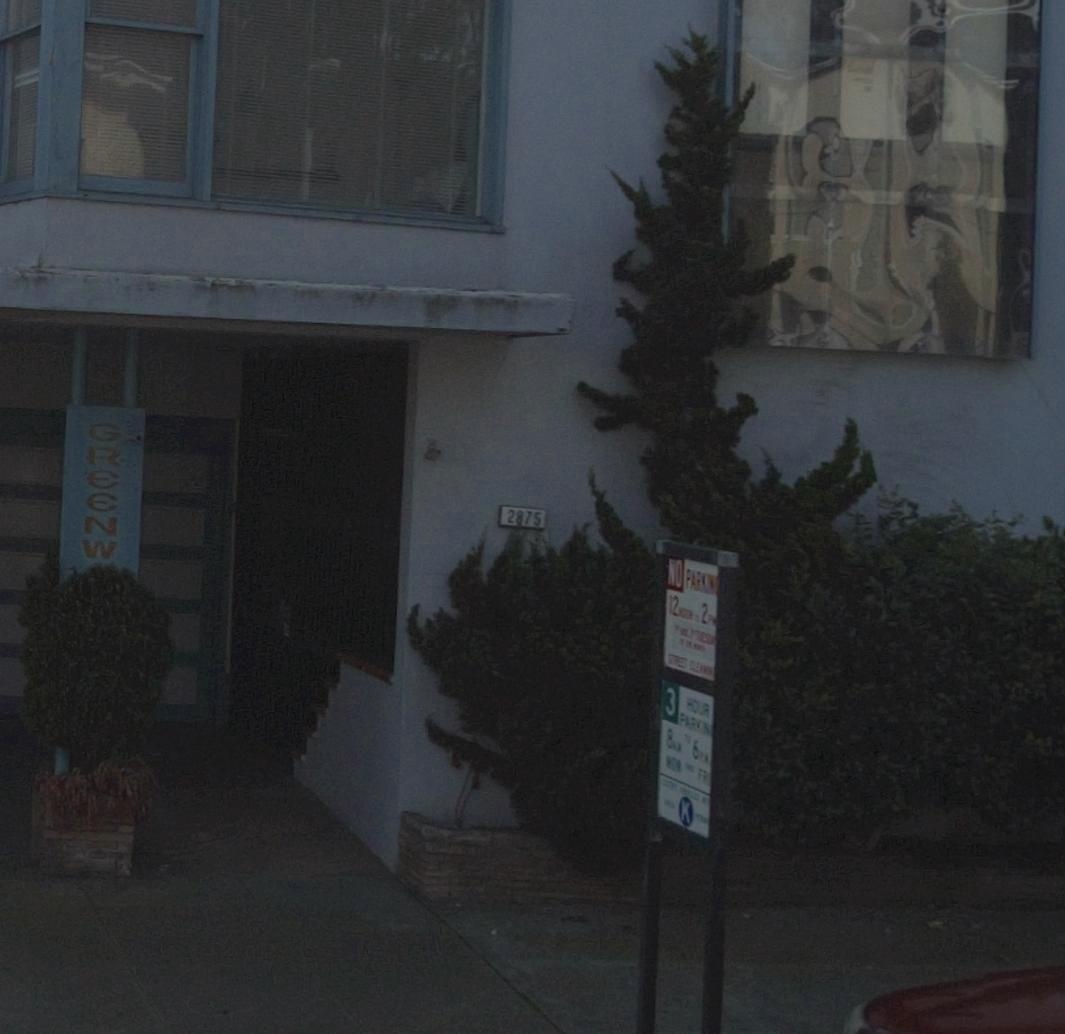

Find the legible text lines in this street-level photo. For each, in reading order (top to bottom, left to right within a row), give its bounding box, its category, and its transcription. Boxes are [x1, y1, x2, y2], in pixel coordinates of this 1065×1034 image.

[79, 417, 127, 563] None: GR**NW
[504, 506, 544, 529] StreetNumber: 2875
[664, 556, 704, 597] None: NO PAR
[665, 591, 682, 621] None: 12
[698, 600, 711, 628] None: 2
[662, 683, 679, 720] None: 3
[683, 692, 713, 723] None: HOUR
[663, 725, 677, 752] None: 8
[689, 737, 702, 763] None: 6
[678, 795, 693, 826] None: K